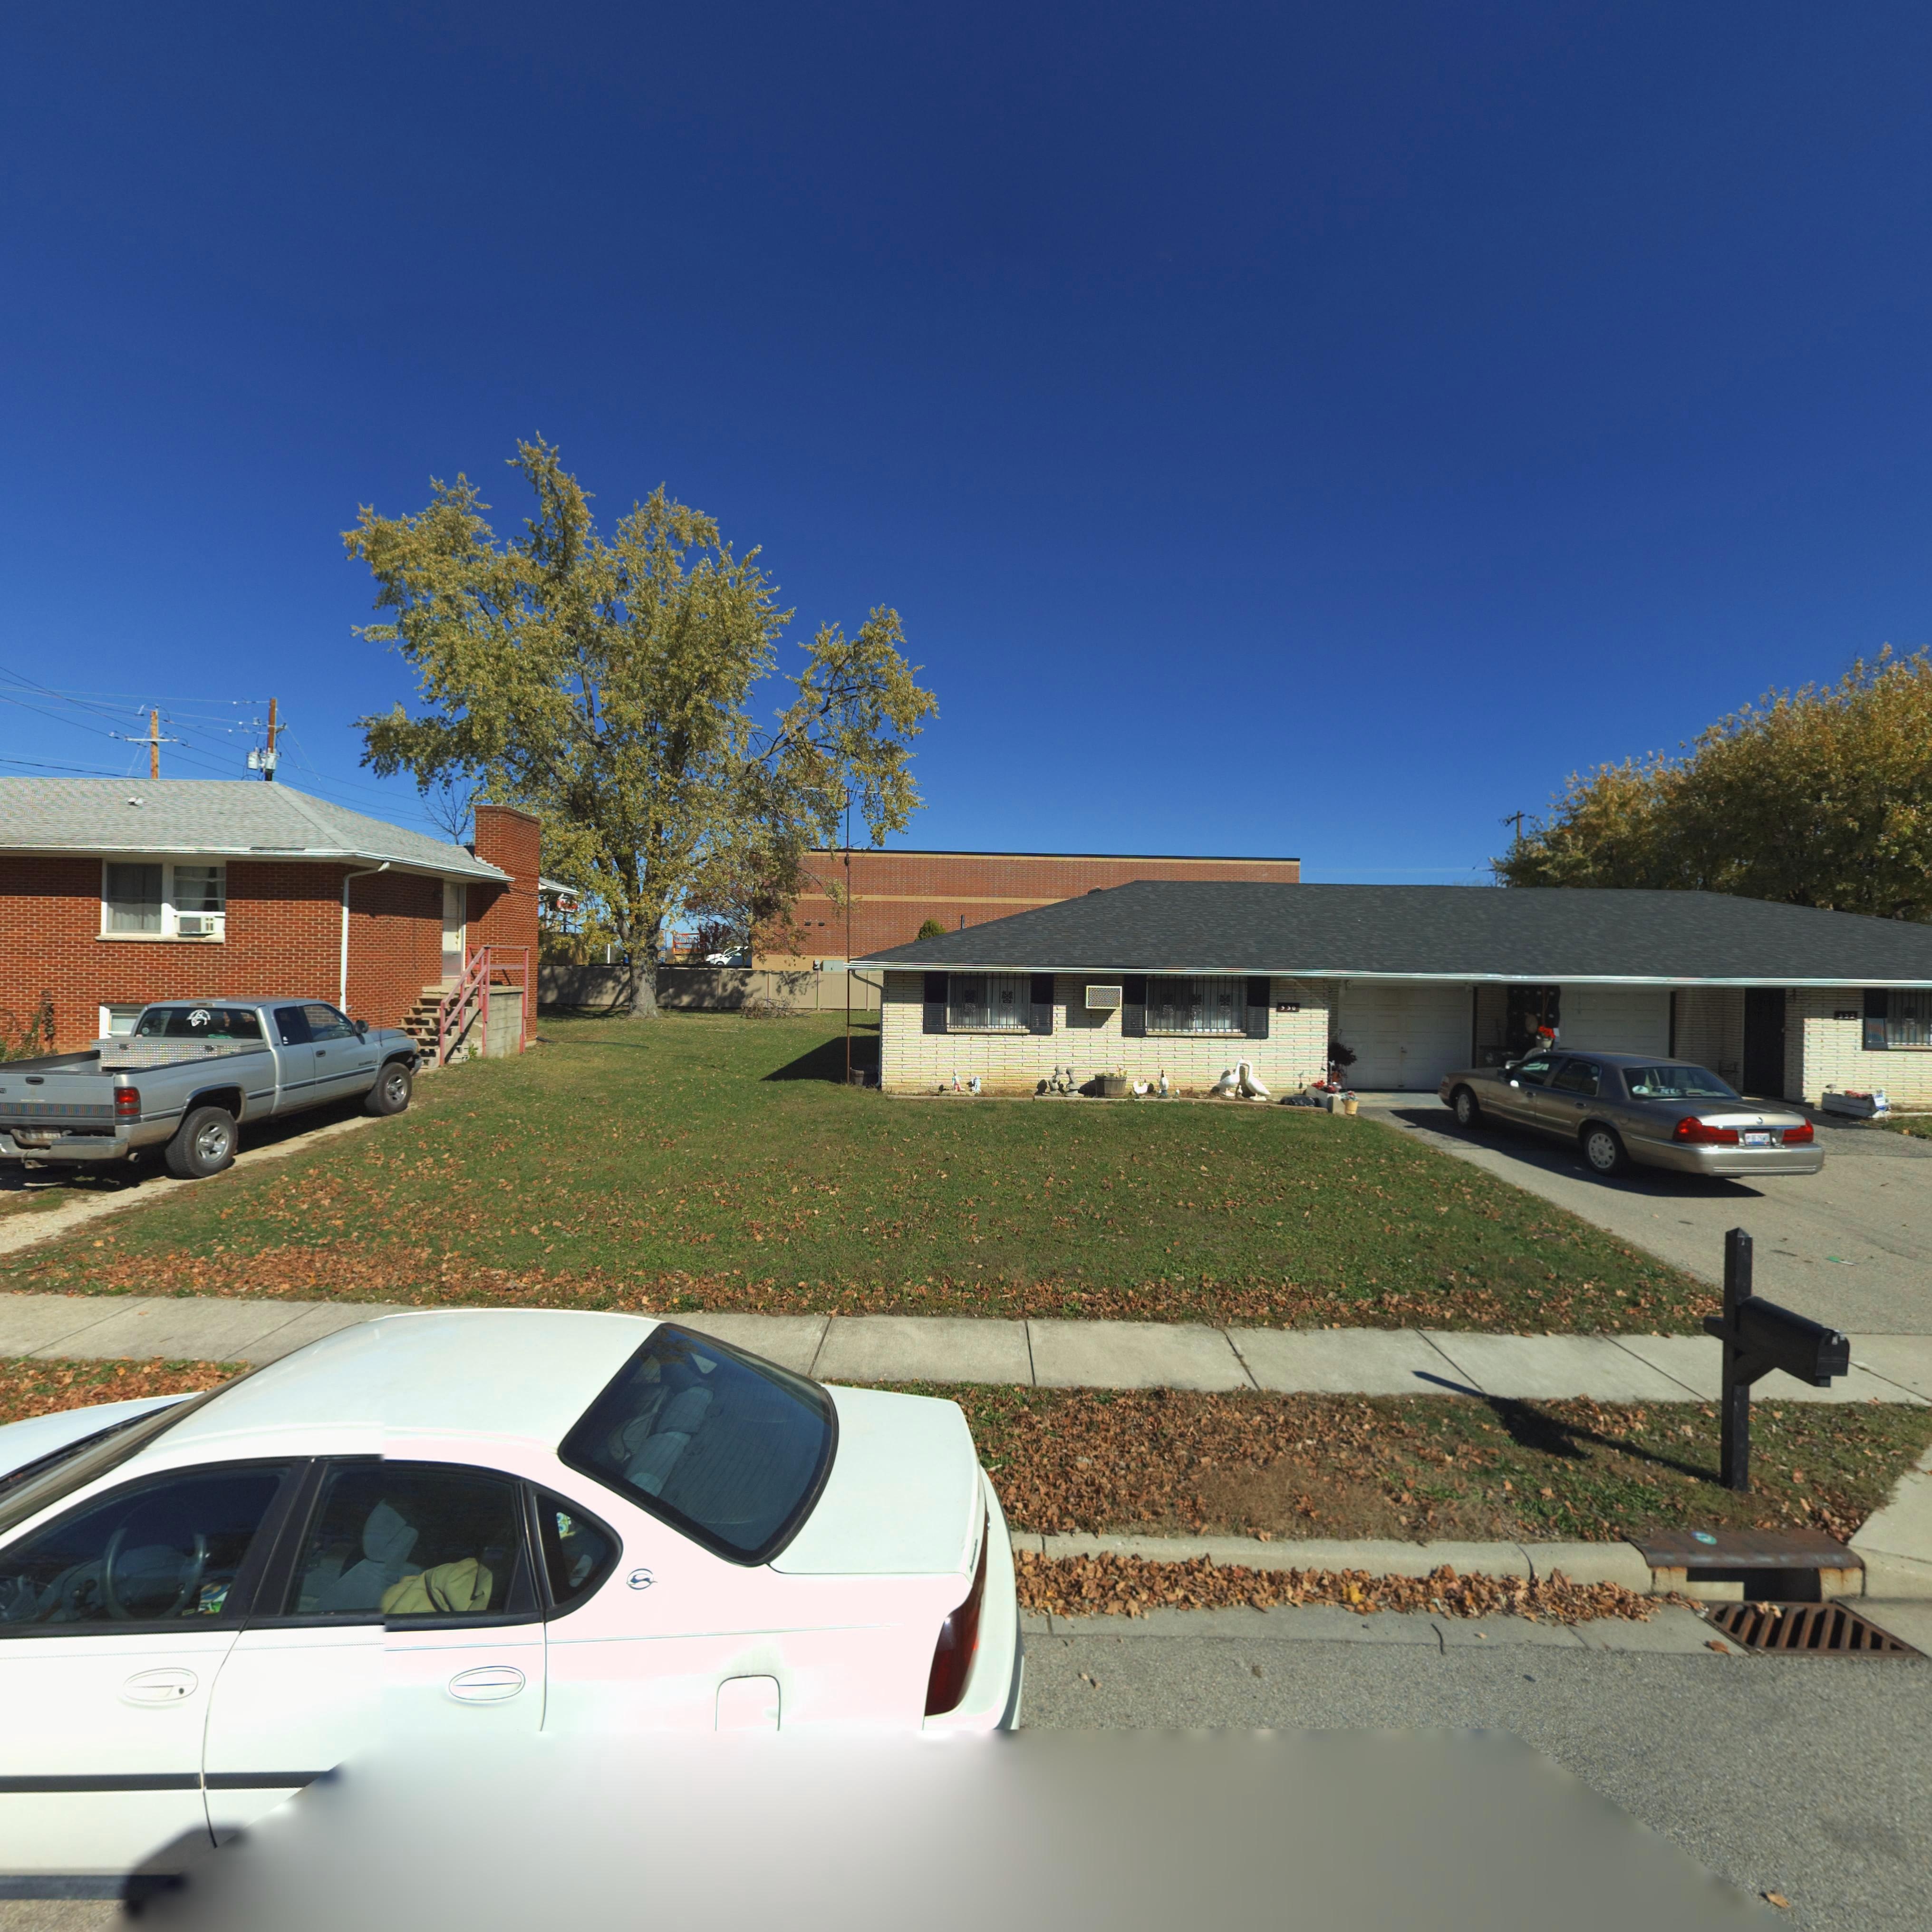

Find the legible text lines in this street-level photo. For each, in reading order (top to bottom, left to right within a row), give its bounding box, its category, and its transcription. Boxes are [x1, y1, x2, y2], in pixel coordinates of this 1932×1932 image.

[1281, 1004, 1296, 1011] StreetNumber: 530
[1838, 1013, 1855, 1019] StreetNumber: 5*2